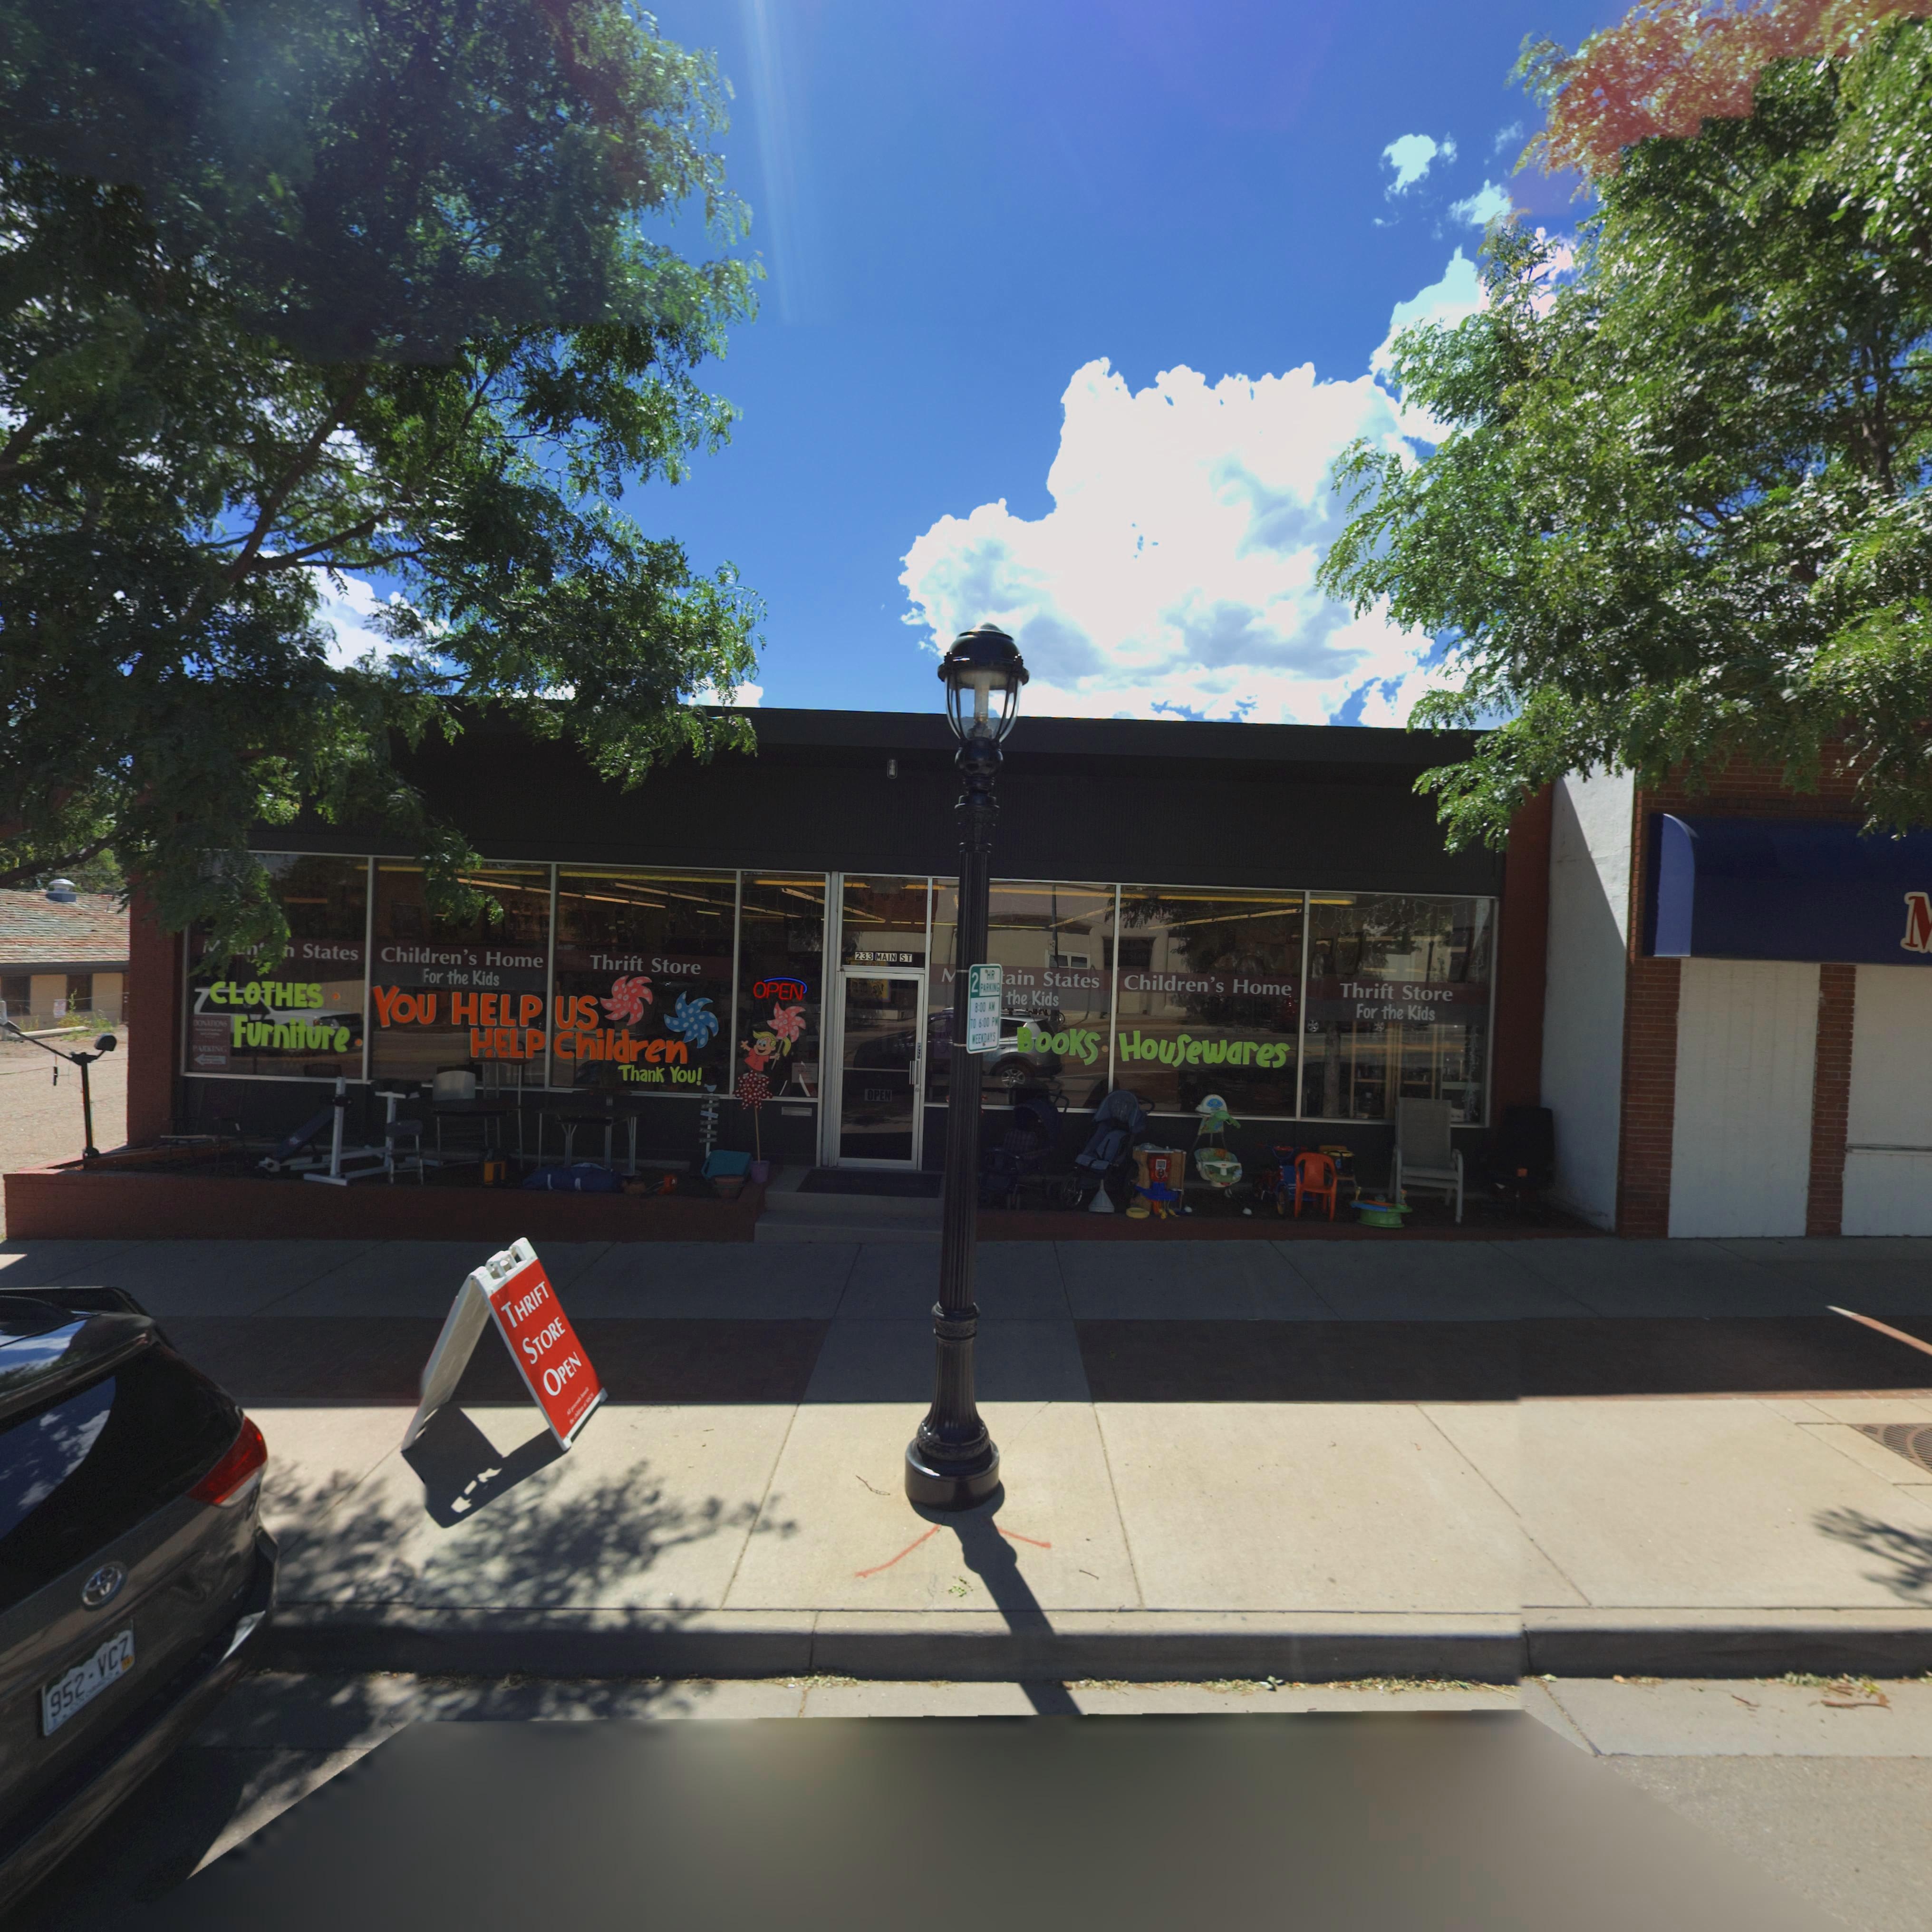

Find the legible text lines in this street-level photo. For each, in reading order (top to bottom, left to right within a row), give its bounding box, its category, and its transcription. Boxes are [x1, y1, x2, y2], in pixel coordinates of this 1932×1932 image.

[201, 937, 702, 975] BusinessName: M**n***n States Children's Home
[855, 952, 872, 960] StreetNumber: 233
[876, 953, 911, 962] StreetName: MAIN ST
[939, 967, 1454, 1003] BusinessName: ******** States Children's Home Thrift Store